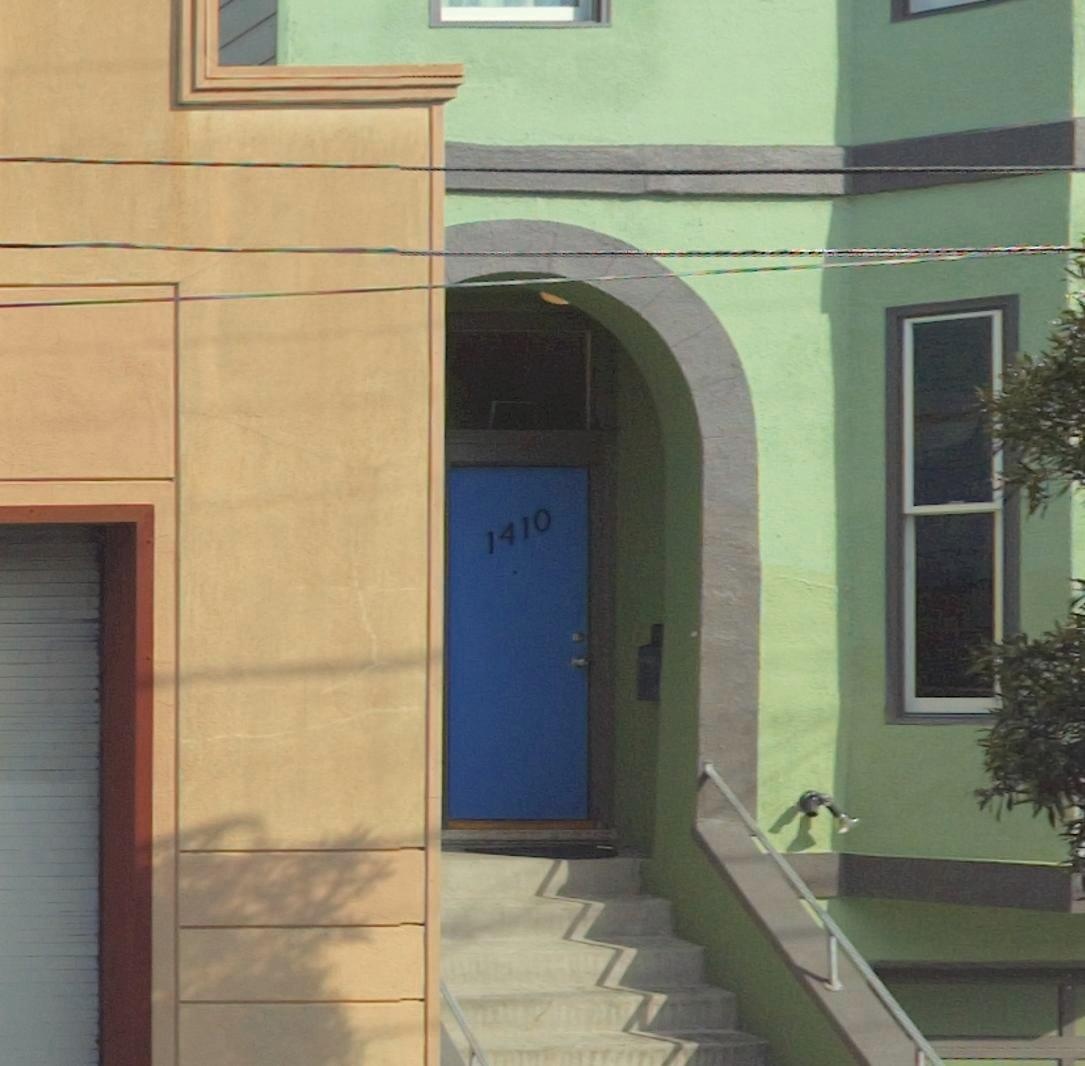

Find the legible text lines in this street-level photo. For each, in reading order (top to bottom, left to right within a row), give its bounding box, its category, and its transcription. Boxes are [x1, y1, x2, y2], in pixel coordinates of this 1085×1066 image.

[484, 502, 554, 560] StreetNumber: 410